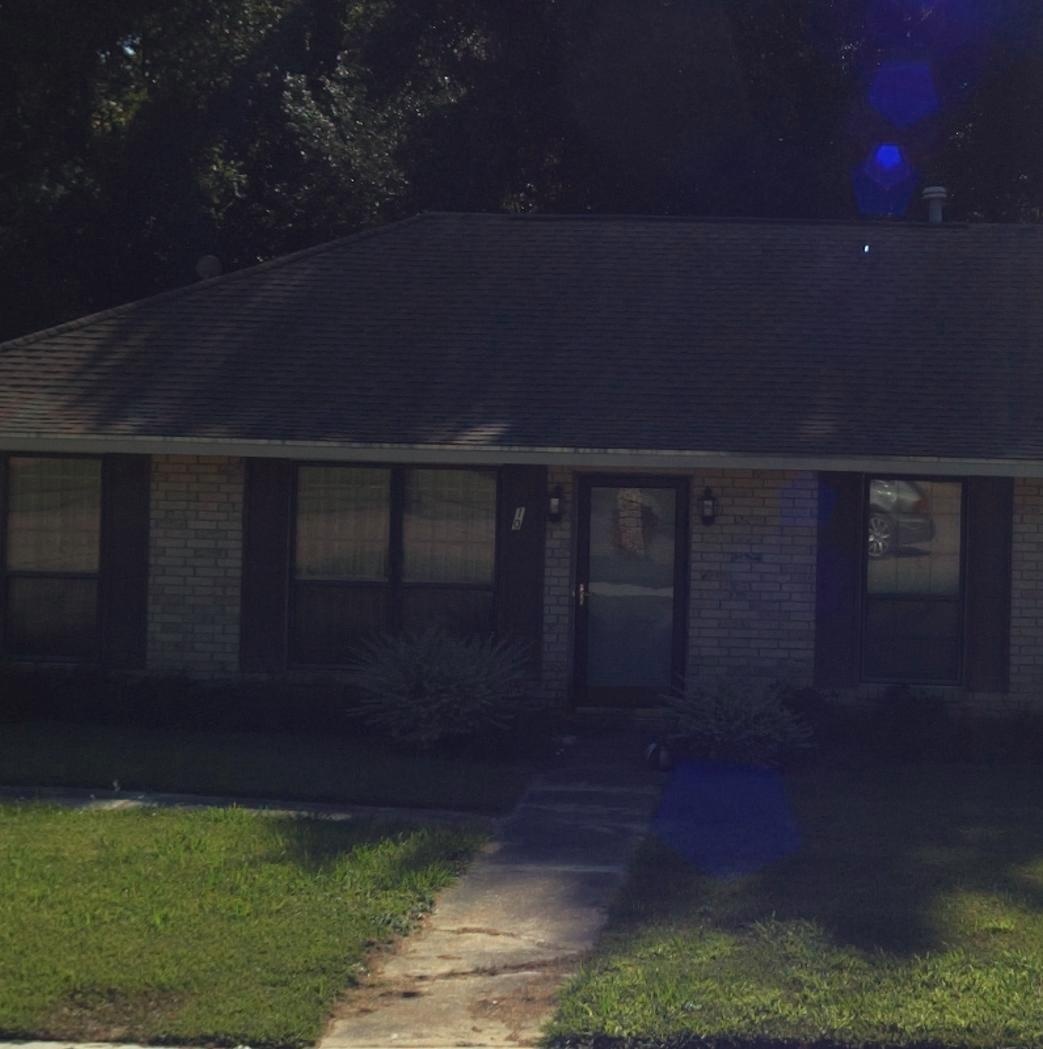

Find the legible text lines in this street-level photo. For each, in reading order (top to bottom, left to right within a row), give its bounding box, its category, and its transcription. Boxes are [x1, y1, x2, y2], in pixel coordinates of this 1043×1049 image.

[512, 506, 524, 530] StreetNumber: 10